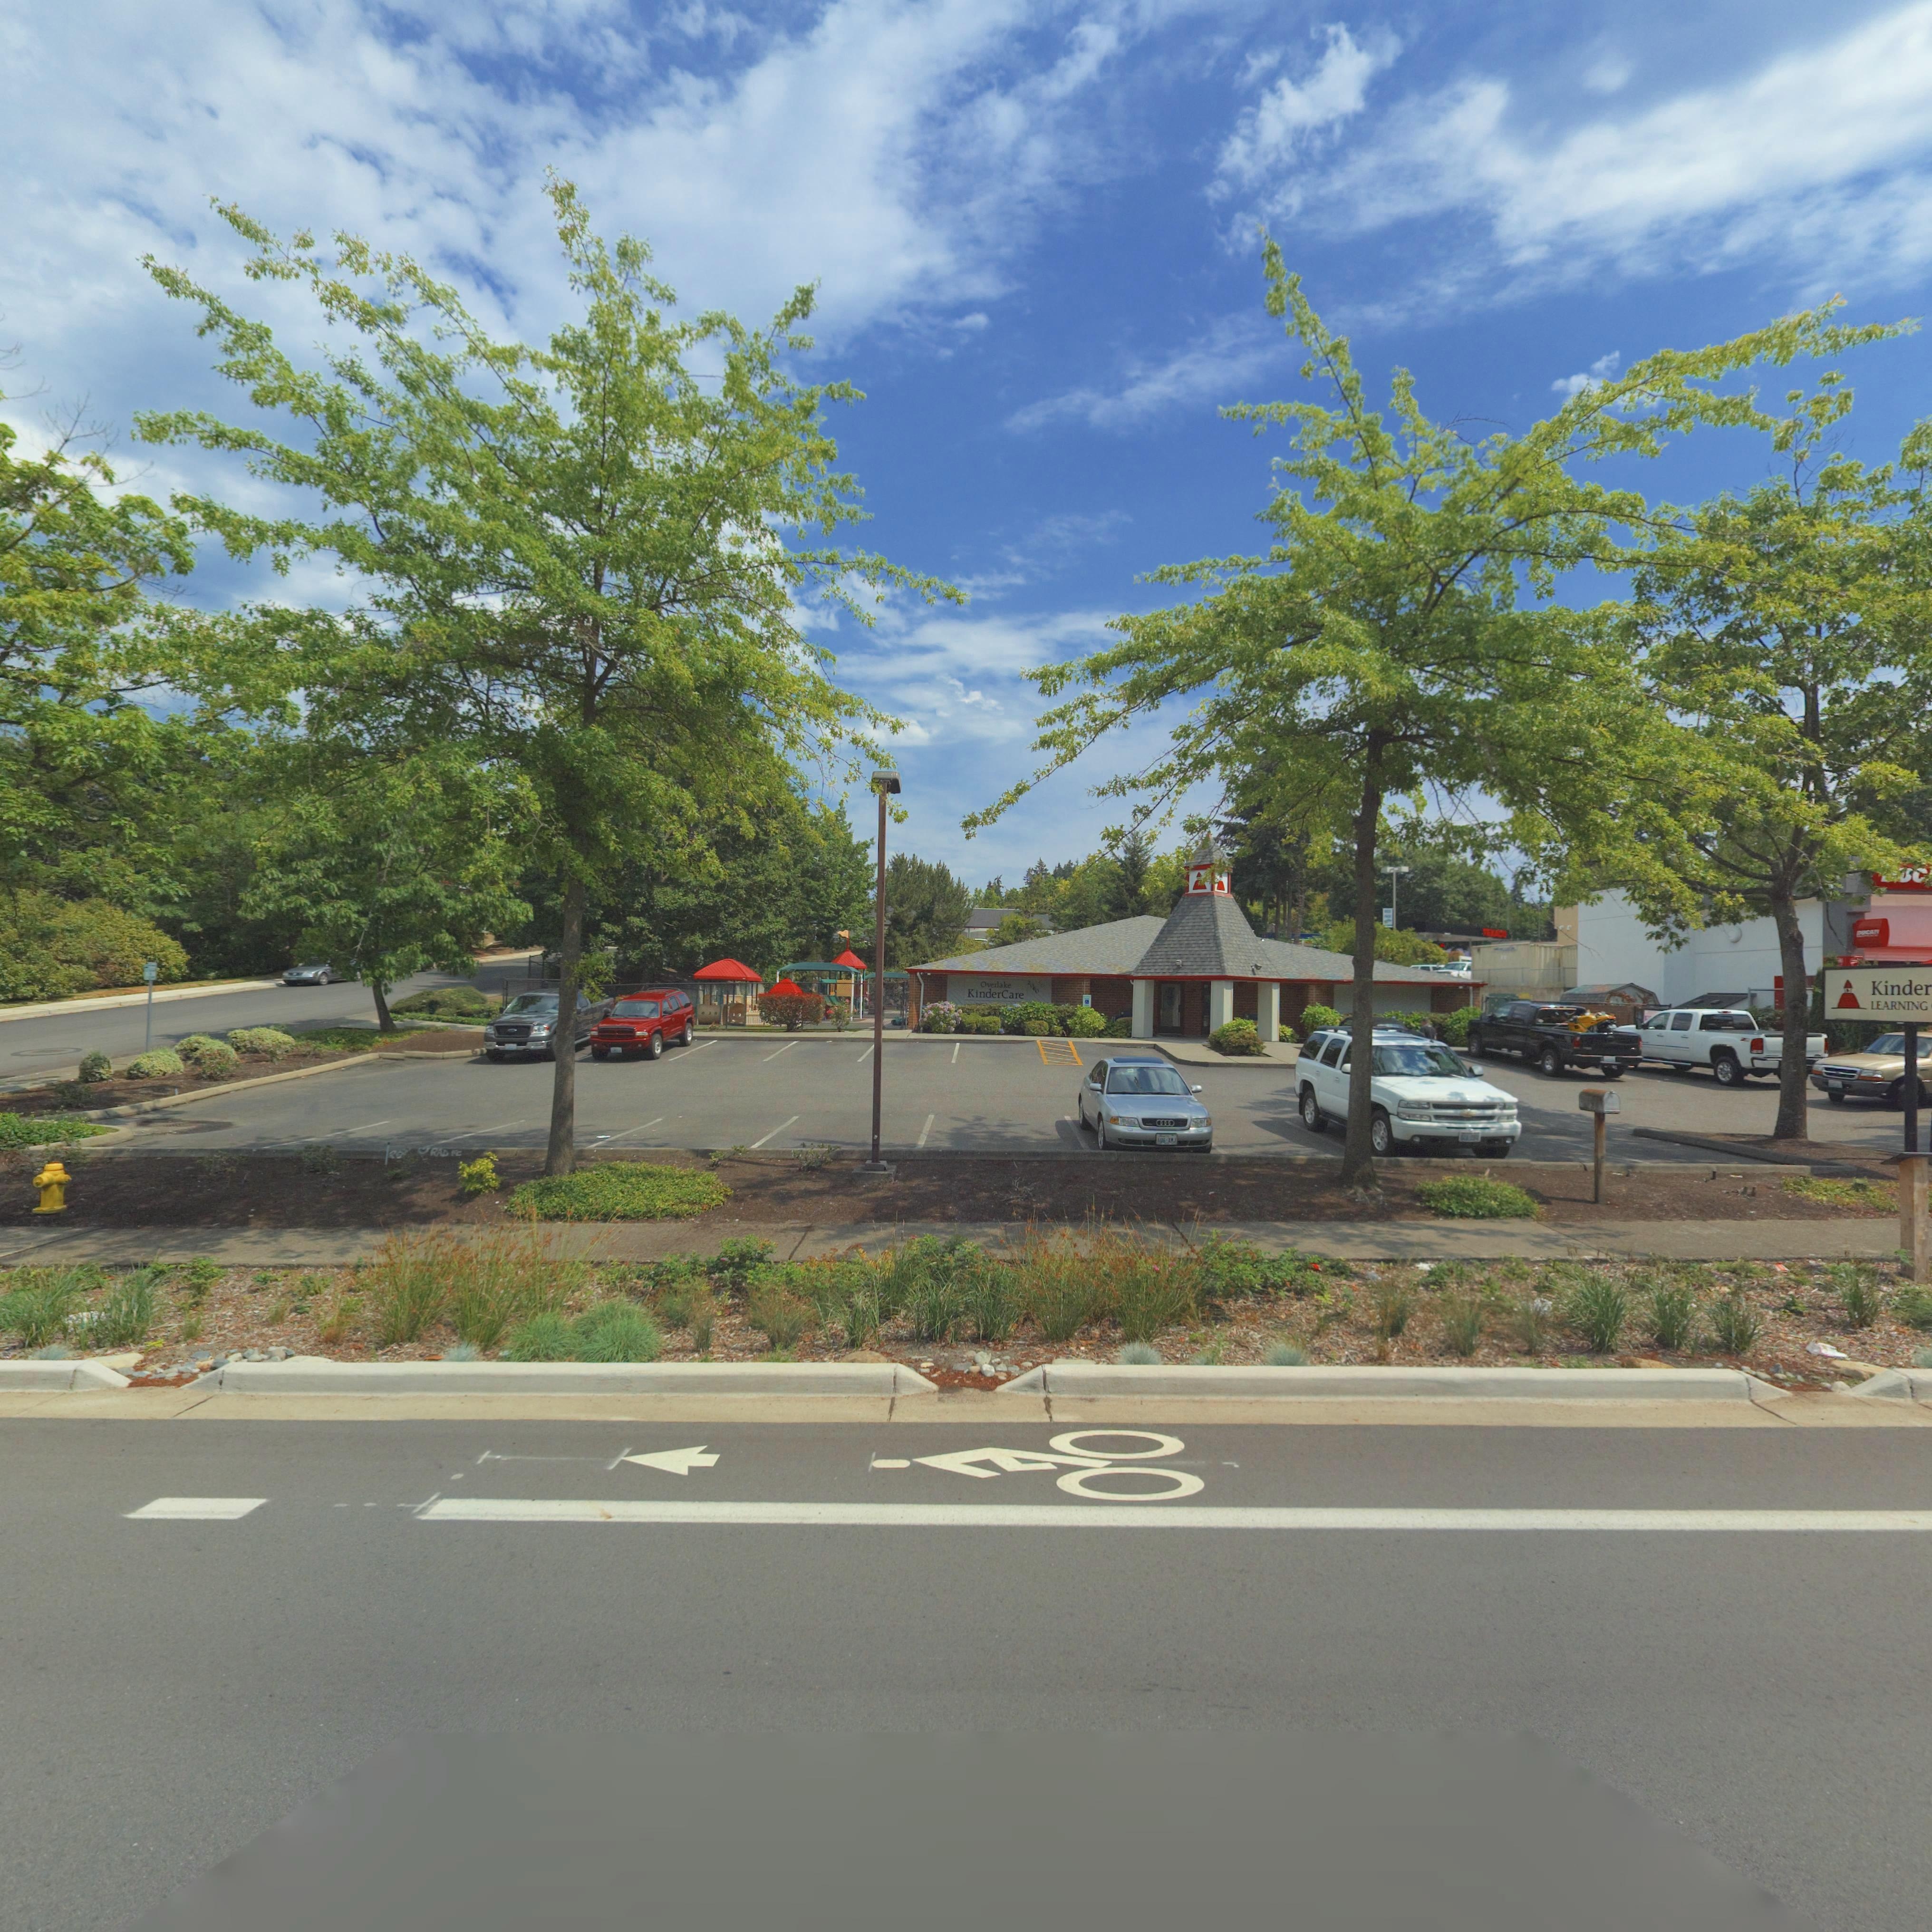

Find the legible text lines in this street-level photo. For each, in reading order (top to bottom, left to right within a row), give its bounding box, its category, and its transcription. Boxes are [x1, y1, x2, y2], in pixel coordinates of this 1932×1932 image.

[966, 988, 1024, 999] BusinessName: KinderCare
[1025, 978, 1041, 995] StreetNumber: 2060
[1871, 979, 1932, 996] BusinessName: Kinder